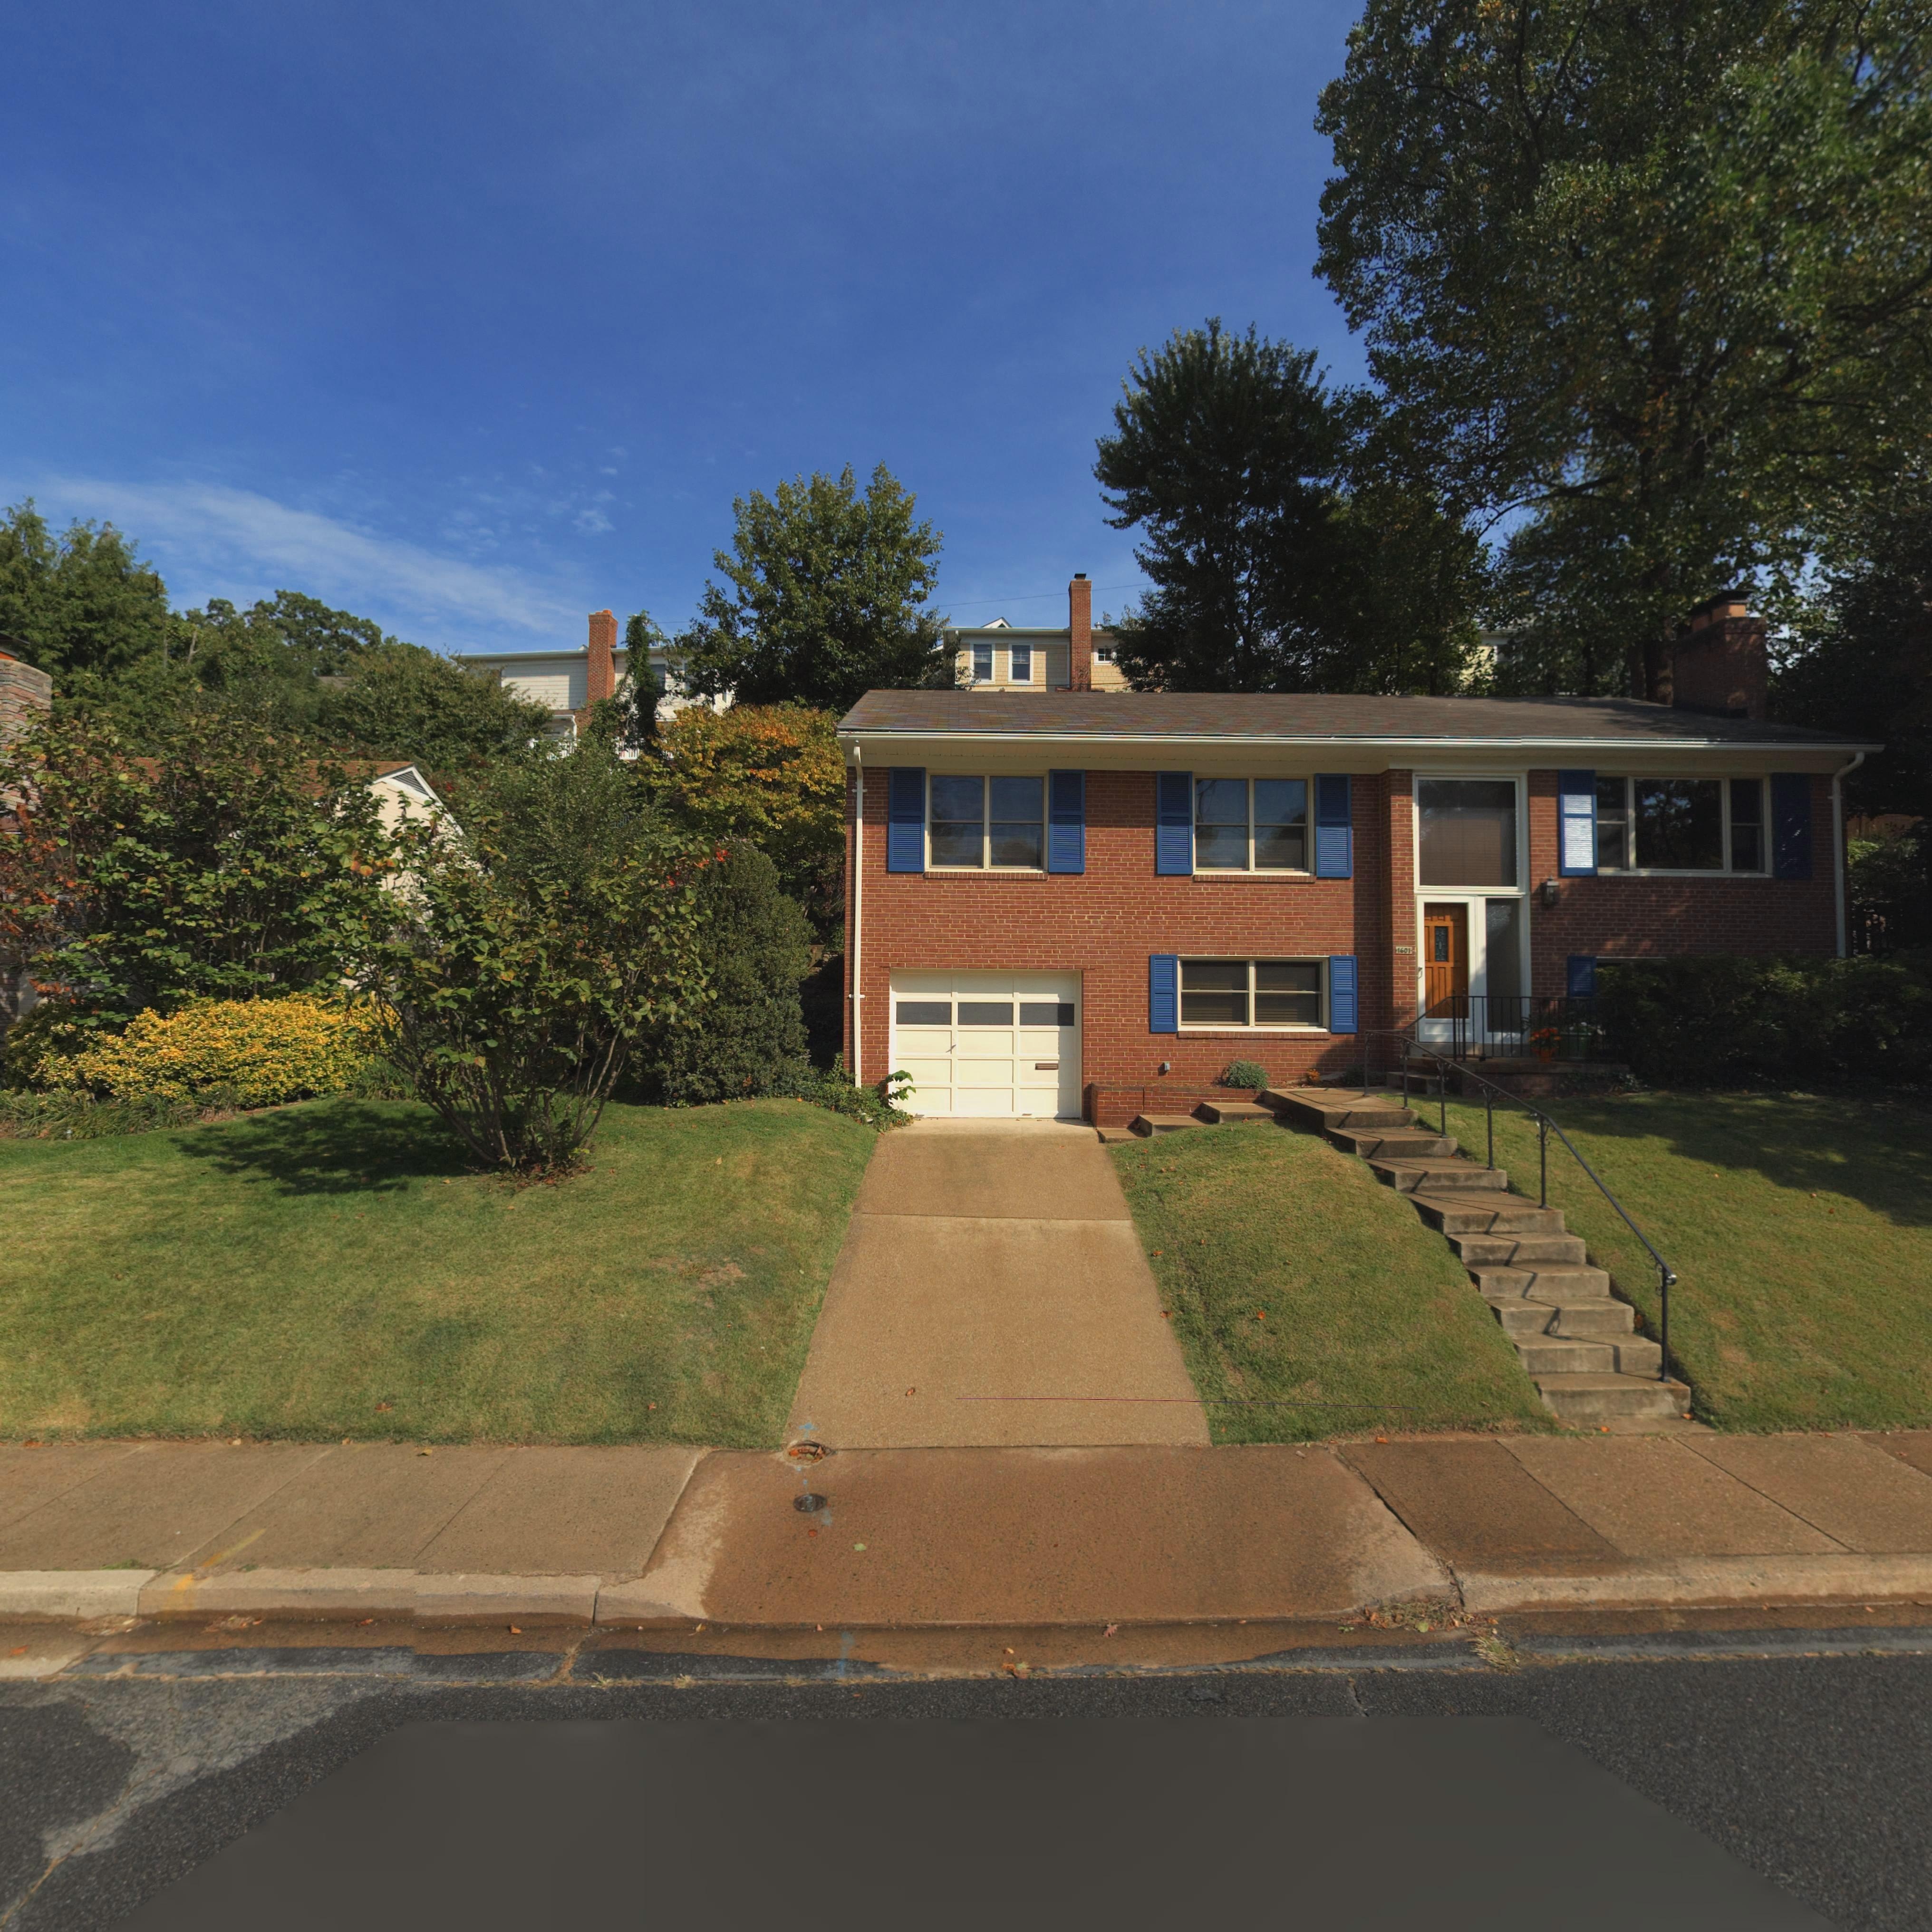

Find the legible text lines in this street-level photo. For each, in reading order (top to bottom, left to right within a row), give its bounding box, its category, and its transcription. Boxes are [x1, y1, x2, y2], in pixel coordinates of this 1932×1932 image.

[1397, 947, 1411, 955] StreetNumber: 1601